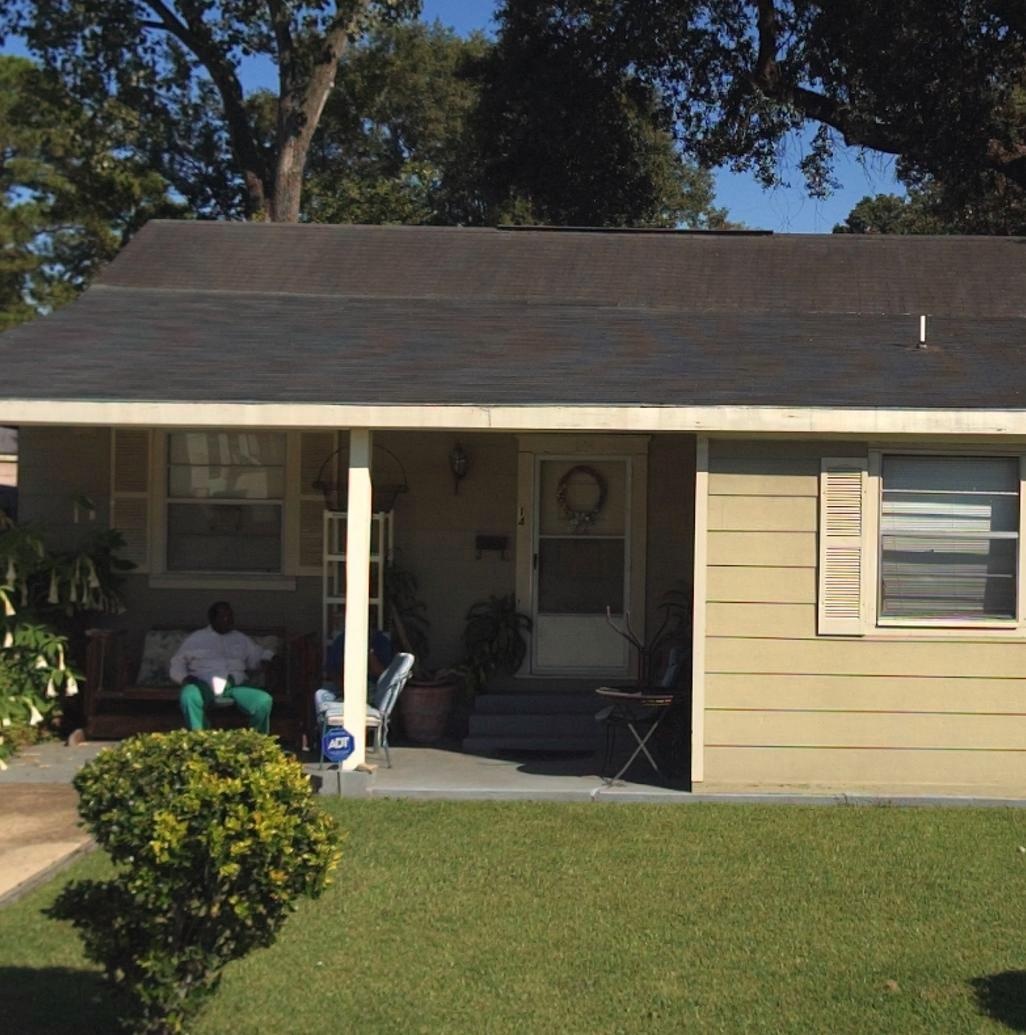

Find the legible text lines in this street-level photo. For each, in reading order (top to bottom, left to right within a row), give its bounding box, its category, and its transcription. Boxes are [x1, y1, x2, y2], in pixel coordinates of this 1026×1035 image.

[517, 505, 526, 528] StreetNumber: 14
[326, 736, 350, 751] None: ADT